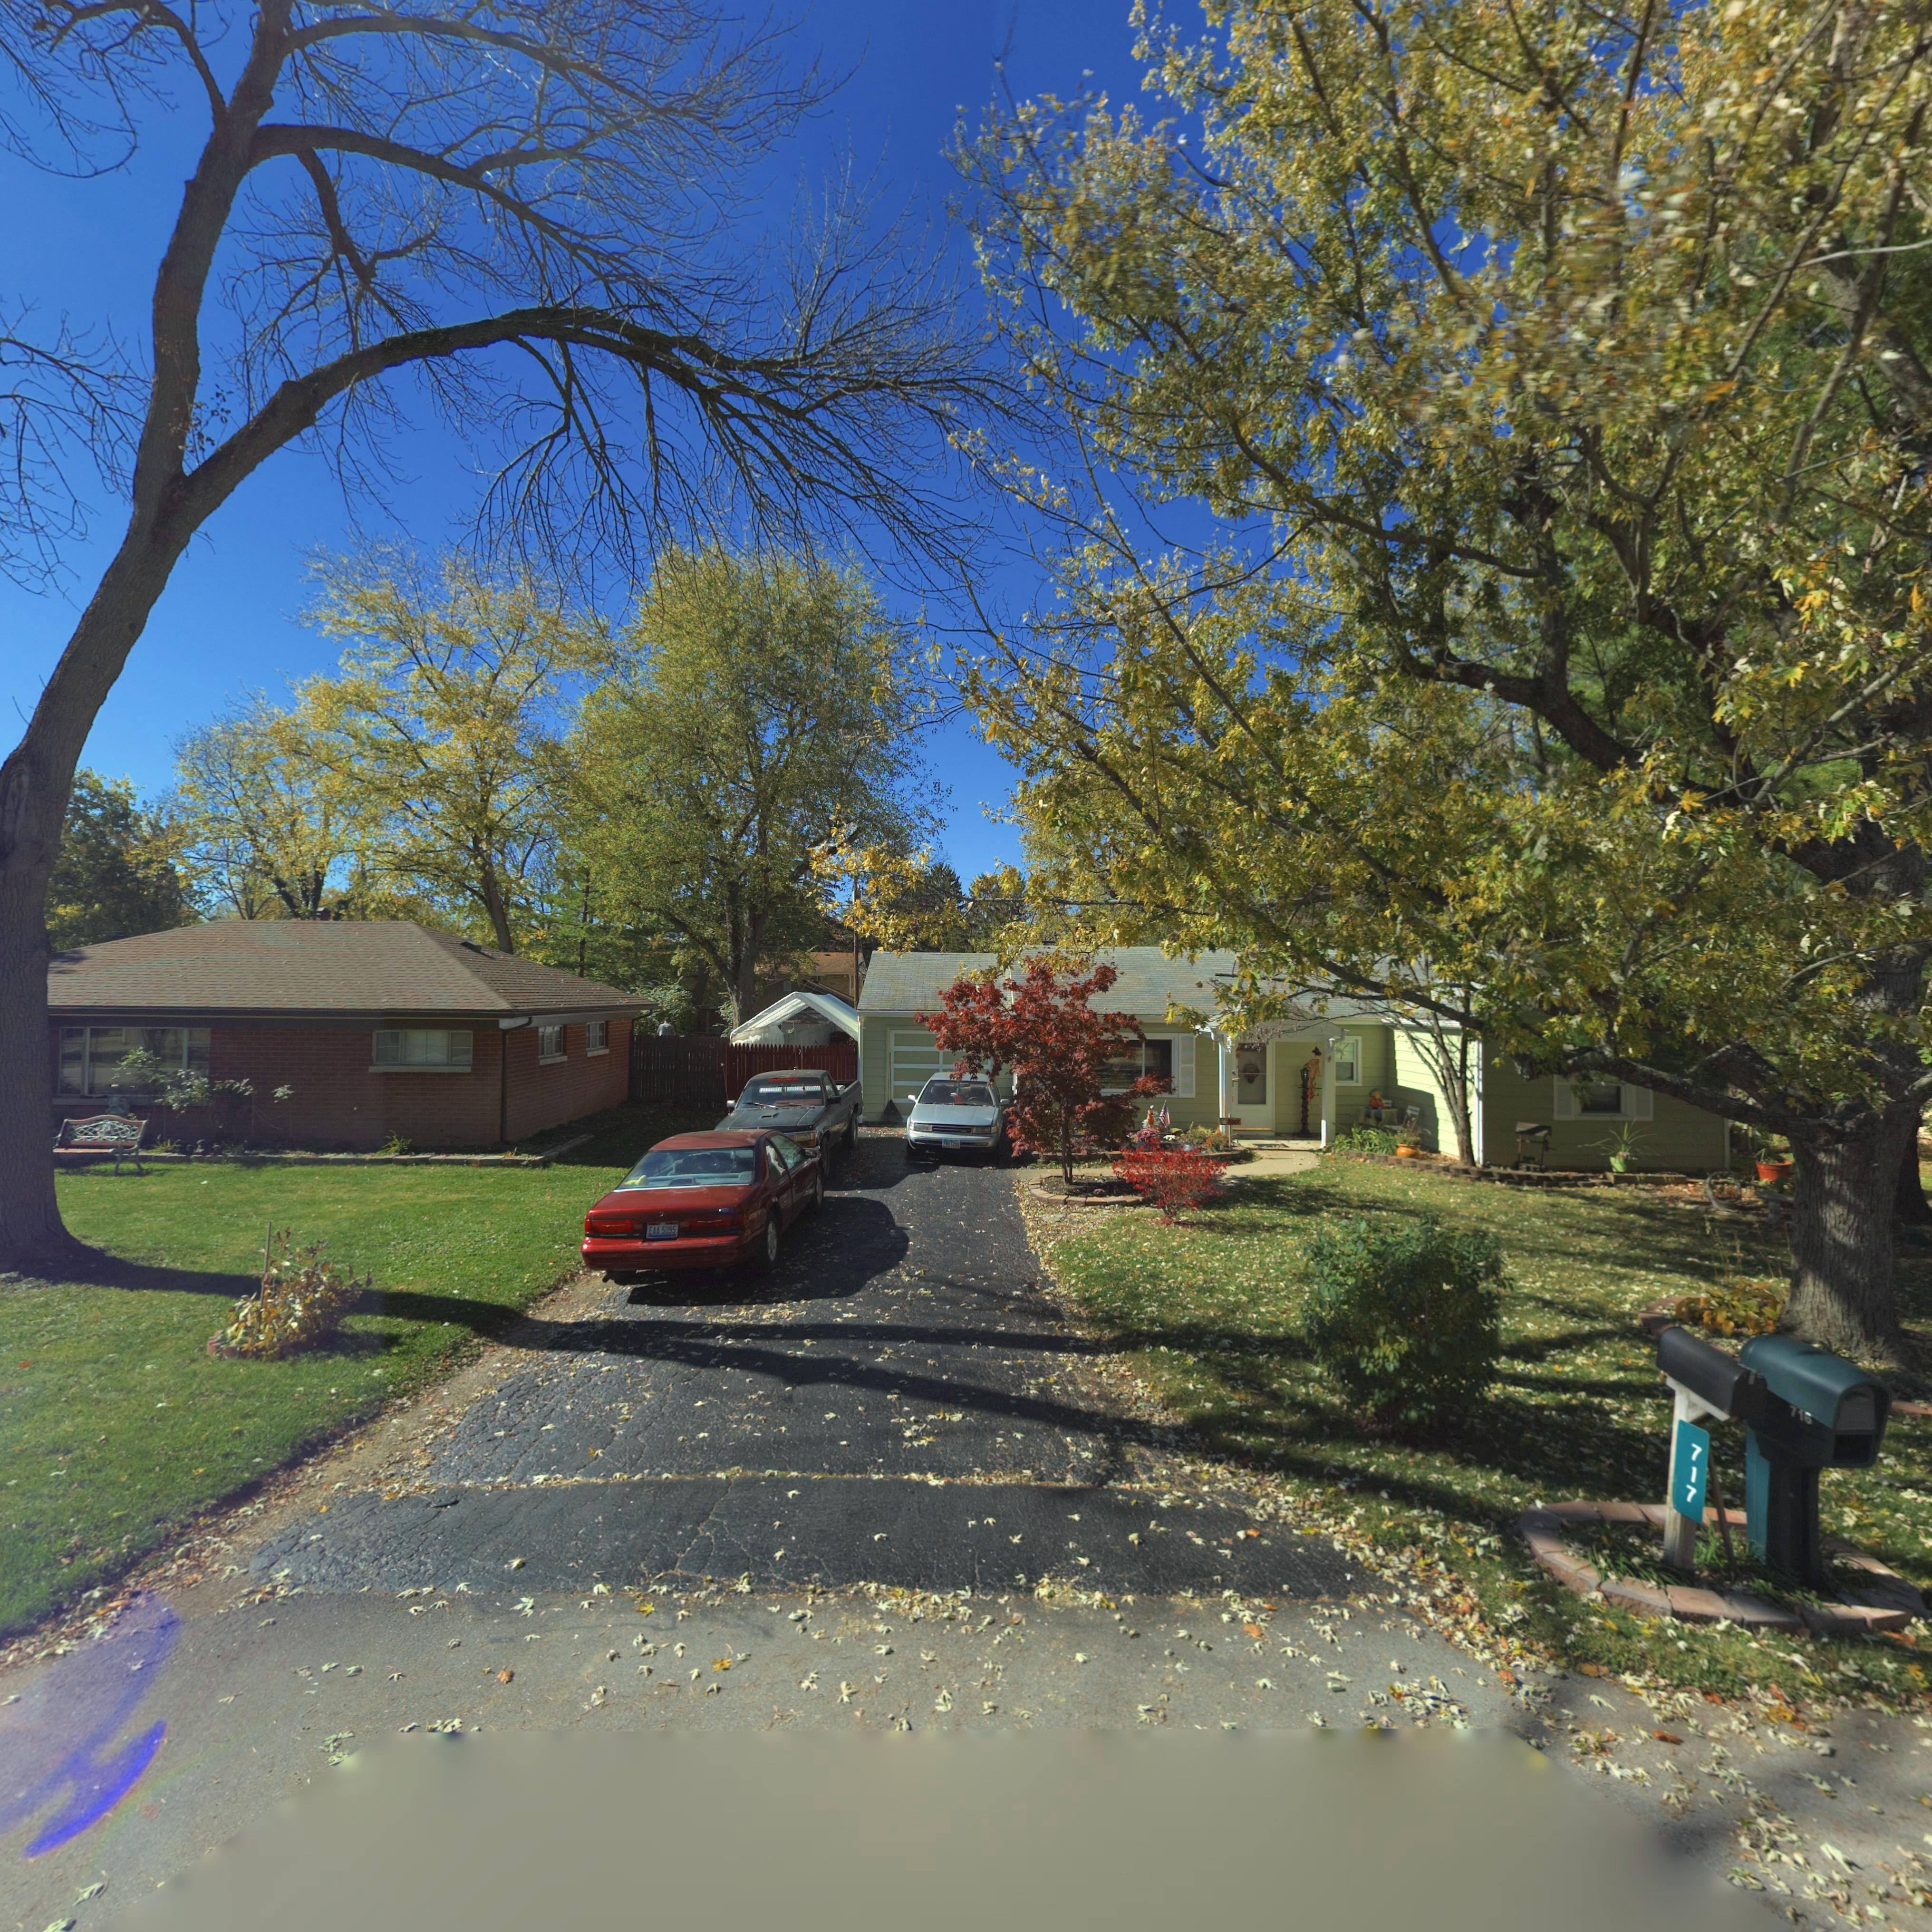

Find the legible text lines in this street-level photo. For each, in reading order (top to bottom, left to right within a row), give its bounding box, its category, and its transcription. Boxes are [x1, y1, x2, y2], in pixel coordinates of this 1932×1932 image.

[1787, 1403, 1813, 1427] StreetNumber: 716
[1685, 1441, 1704, 1504] StreetNumber: 717